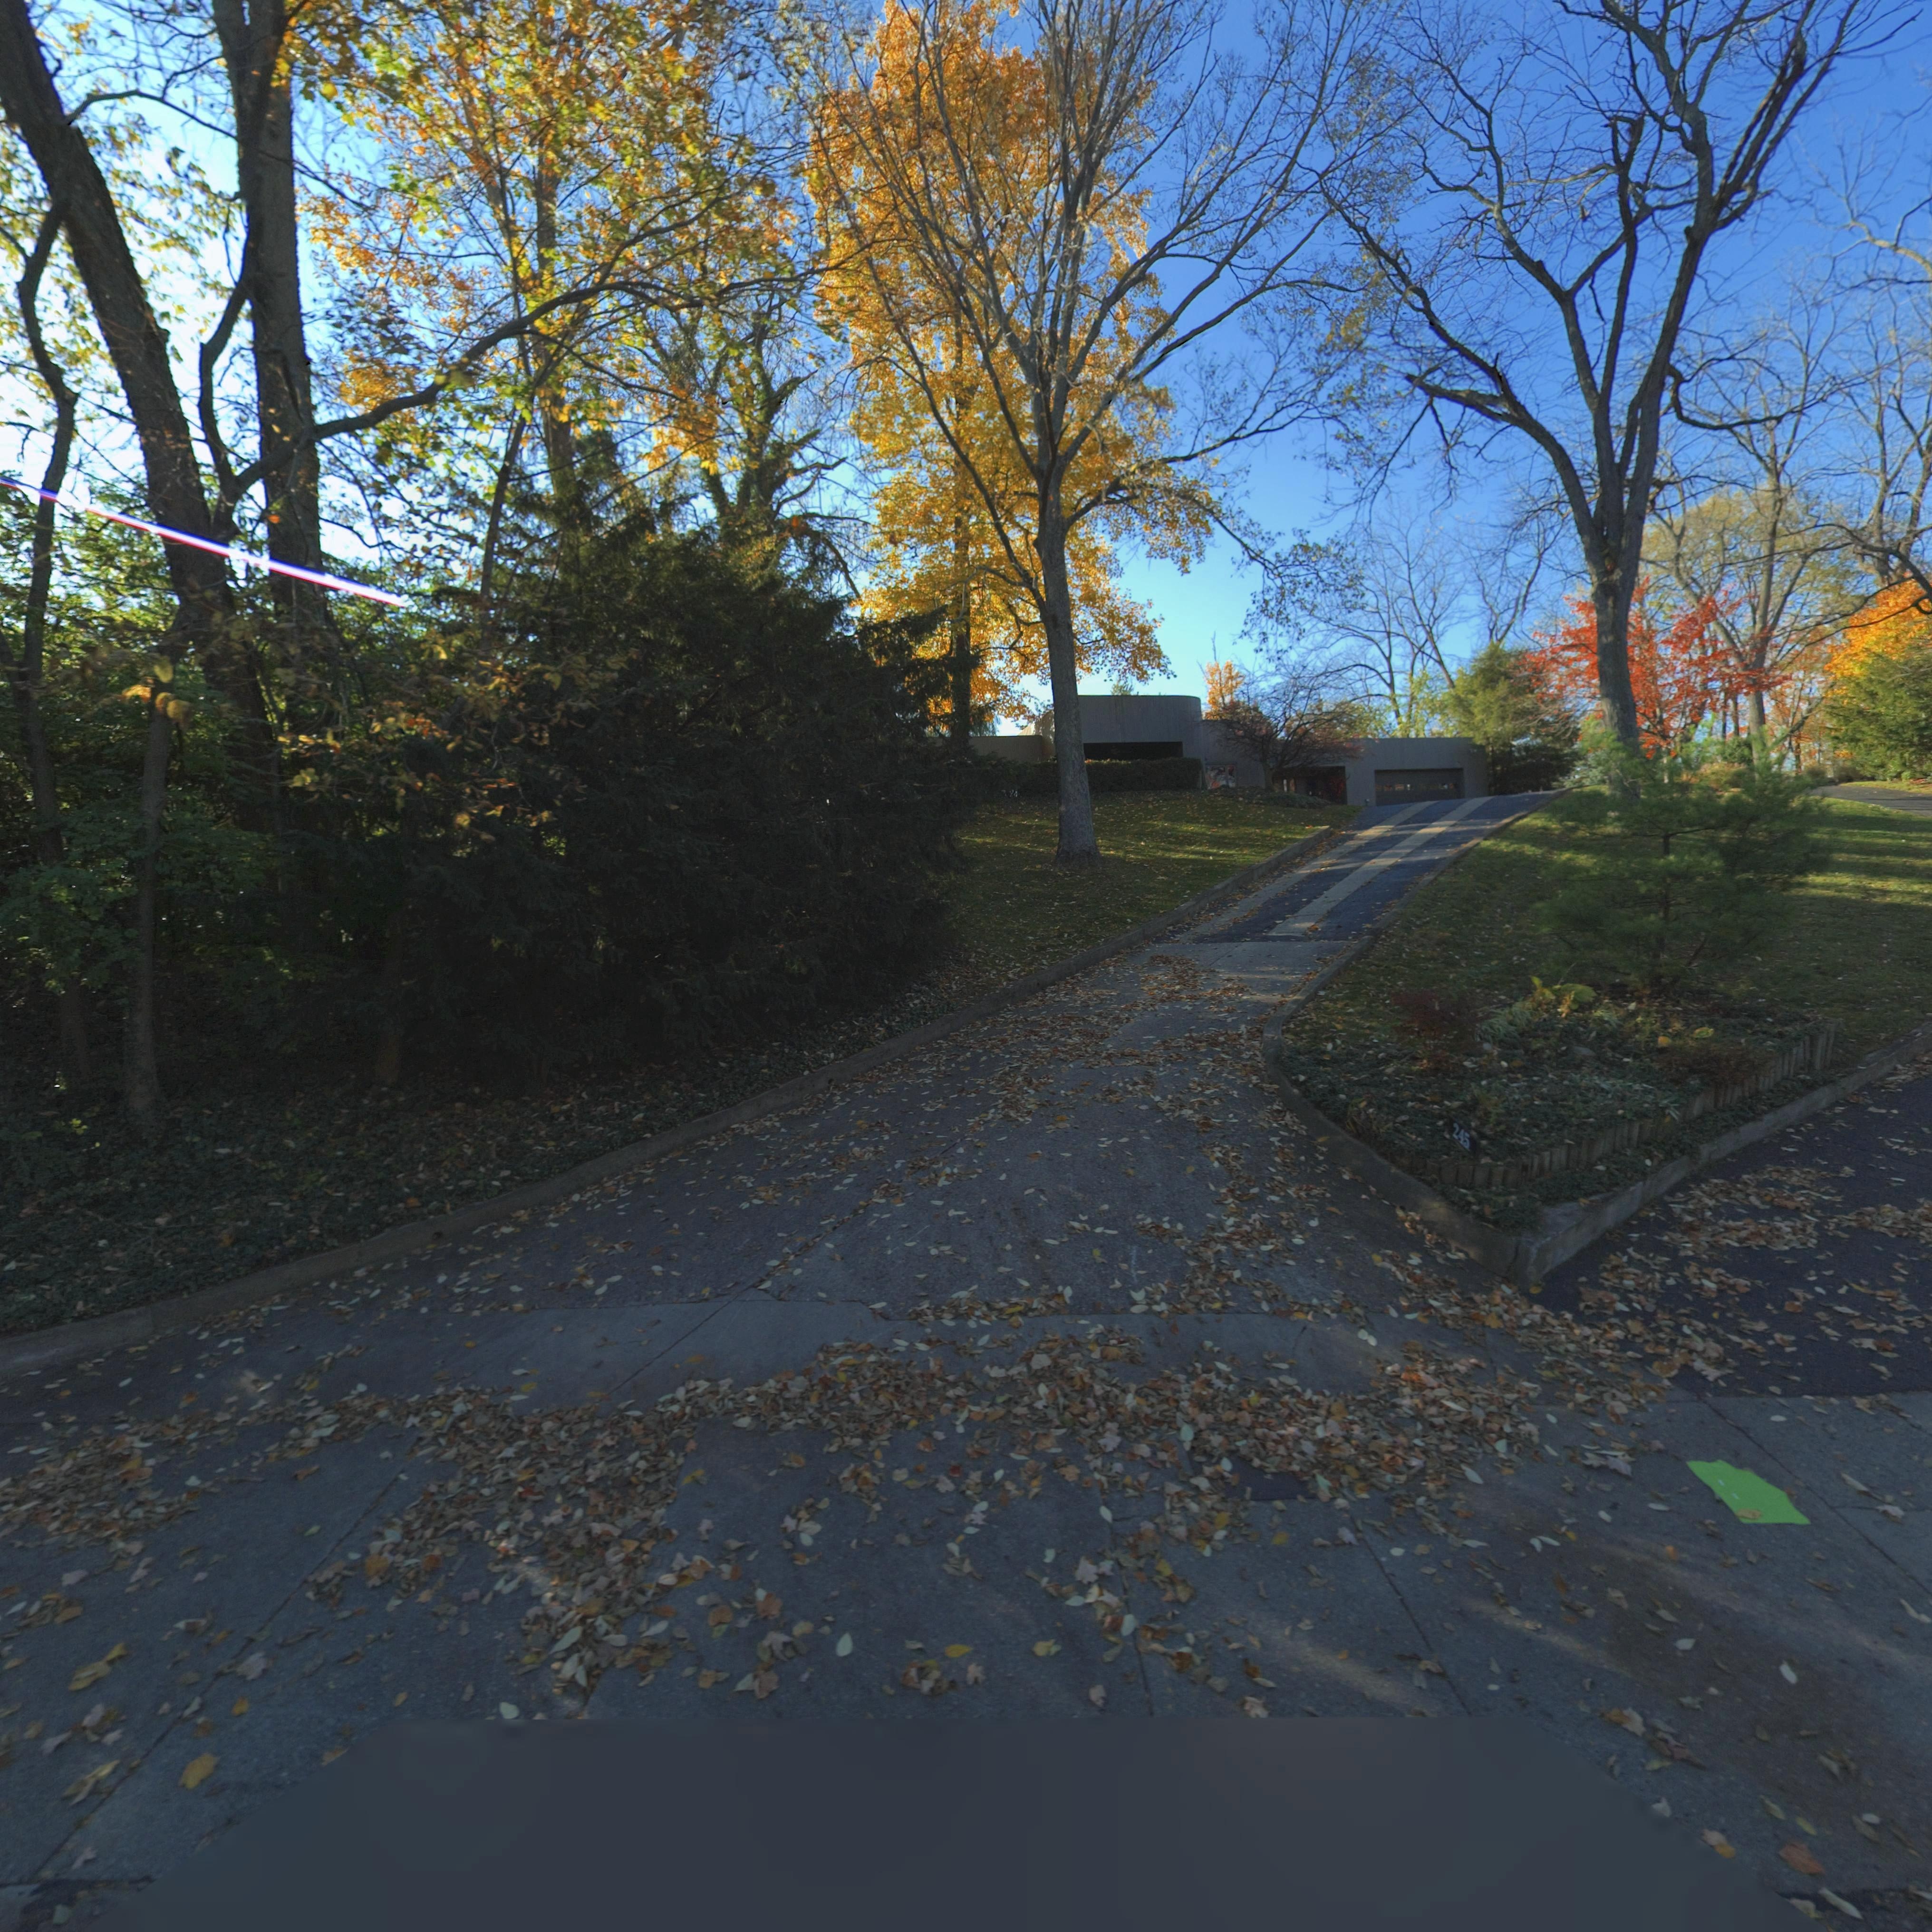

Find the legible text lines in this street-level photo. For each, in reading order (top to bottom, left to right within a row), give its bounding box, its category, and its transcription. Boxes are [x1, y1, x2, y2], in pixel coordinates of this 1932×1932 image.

[1450, 1120, 1472, 1151] StreetNumber: 245